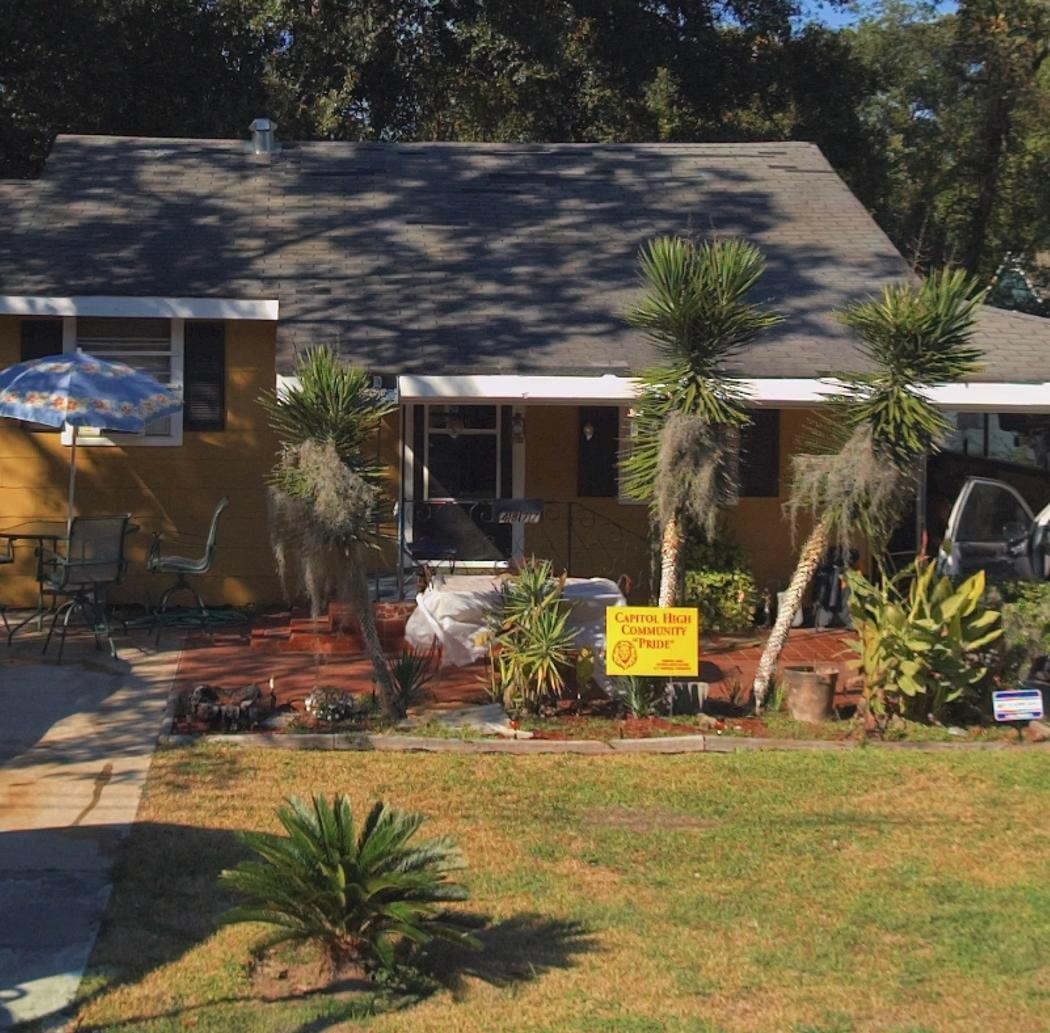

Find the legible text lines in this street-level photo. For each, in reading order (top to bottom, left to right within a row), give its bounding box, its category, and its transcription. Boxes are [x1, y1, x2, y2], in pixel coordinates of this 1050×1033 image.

[501, 511, 541, 523] StreetNumber: 4877
[613, 611, 692, 624] None: CAPITOL HIGH
[620, 623, 686, 636] None: COMMUNITY
[637, 637, 669, 649] None: PRIDE